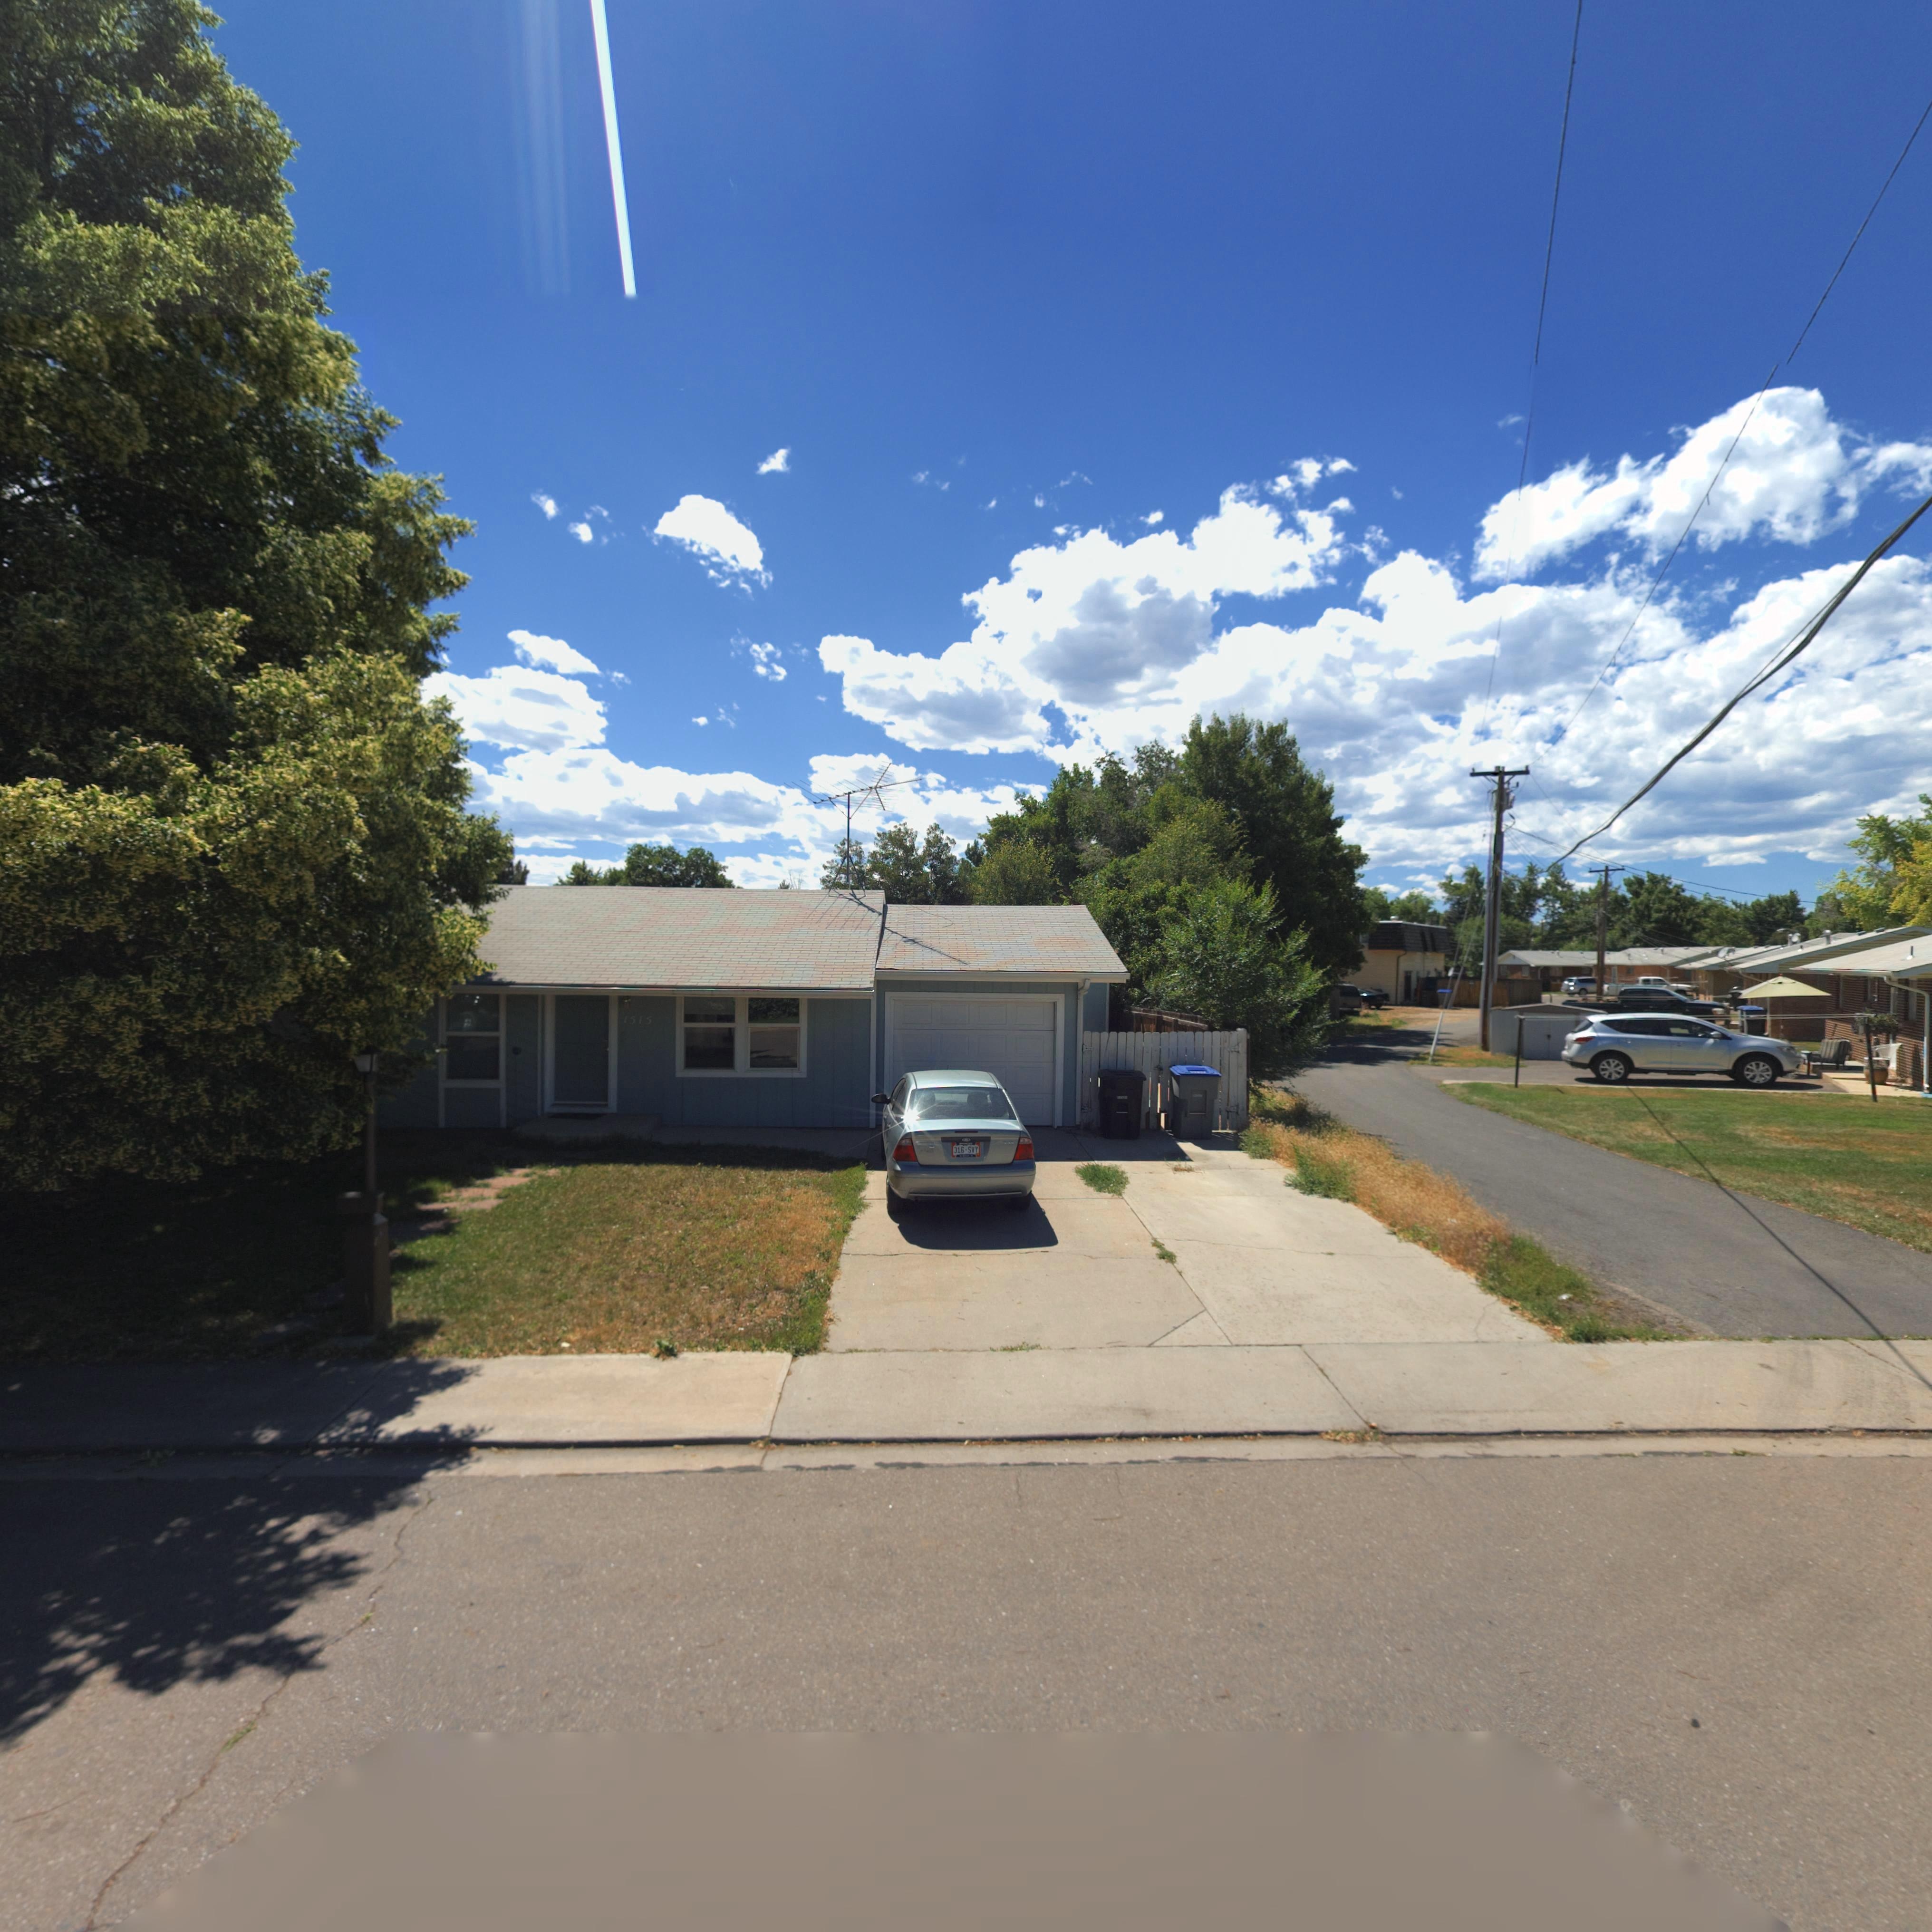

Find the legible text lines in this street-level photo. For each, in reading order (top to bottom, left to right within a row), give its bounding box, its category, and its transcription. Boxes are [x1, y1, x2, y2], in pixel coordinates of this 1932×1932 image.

[622, 1015, 654, 1025] StreetNumber: 1515